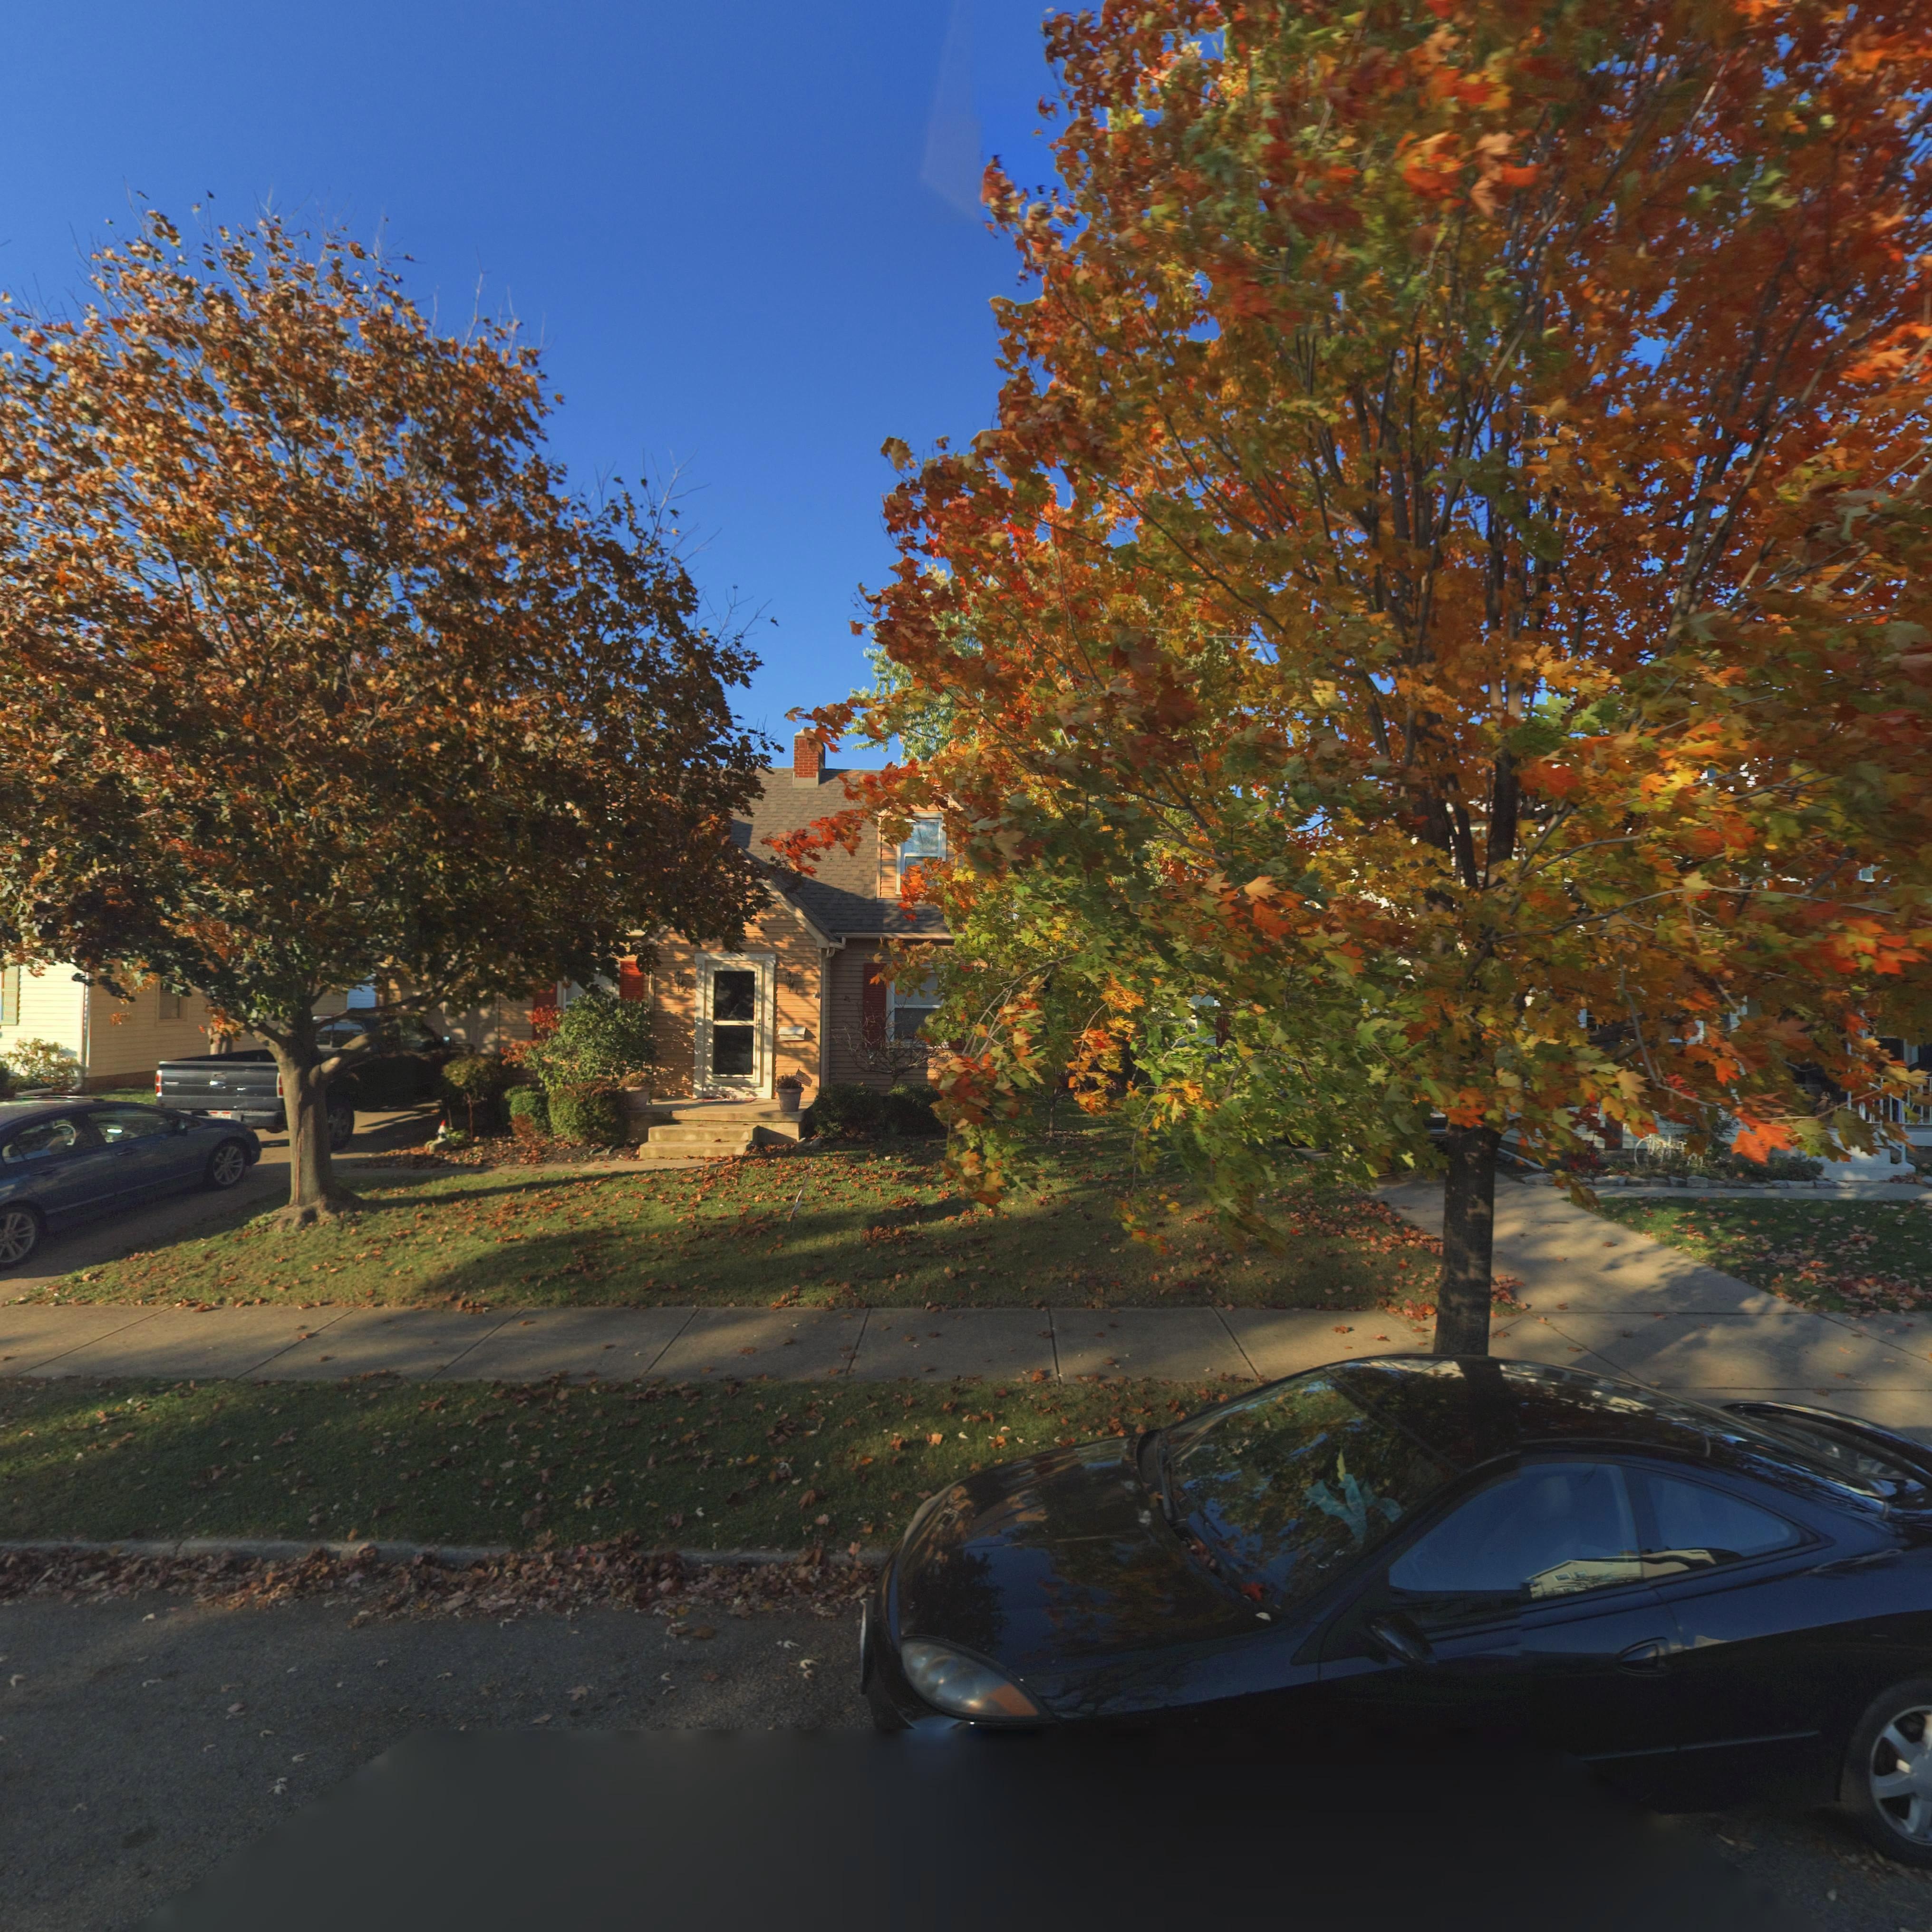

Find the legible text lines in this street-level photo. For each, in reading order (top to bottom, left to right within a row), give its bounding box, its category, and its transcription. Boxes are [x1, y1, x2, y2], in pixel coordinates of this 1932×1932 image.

[696, 962, 704, 988] StreetNumber: 217